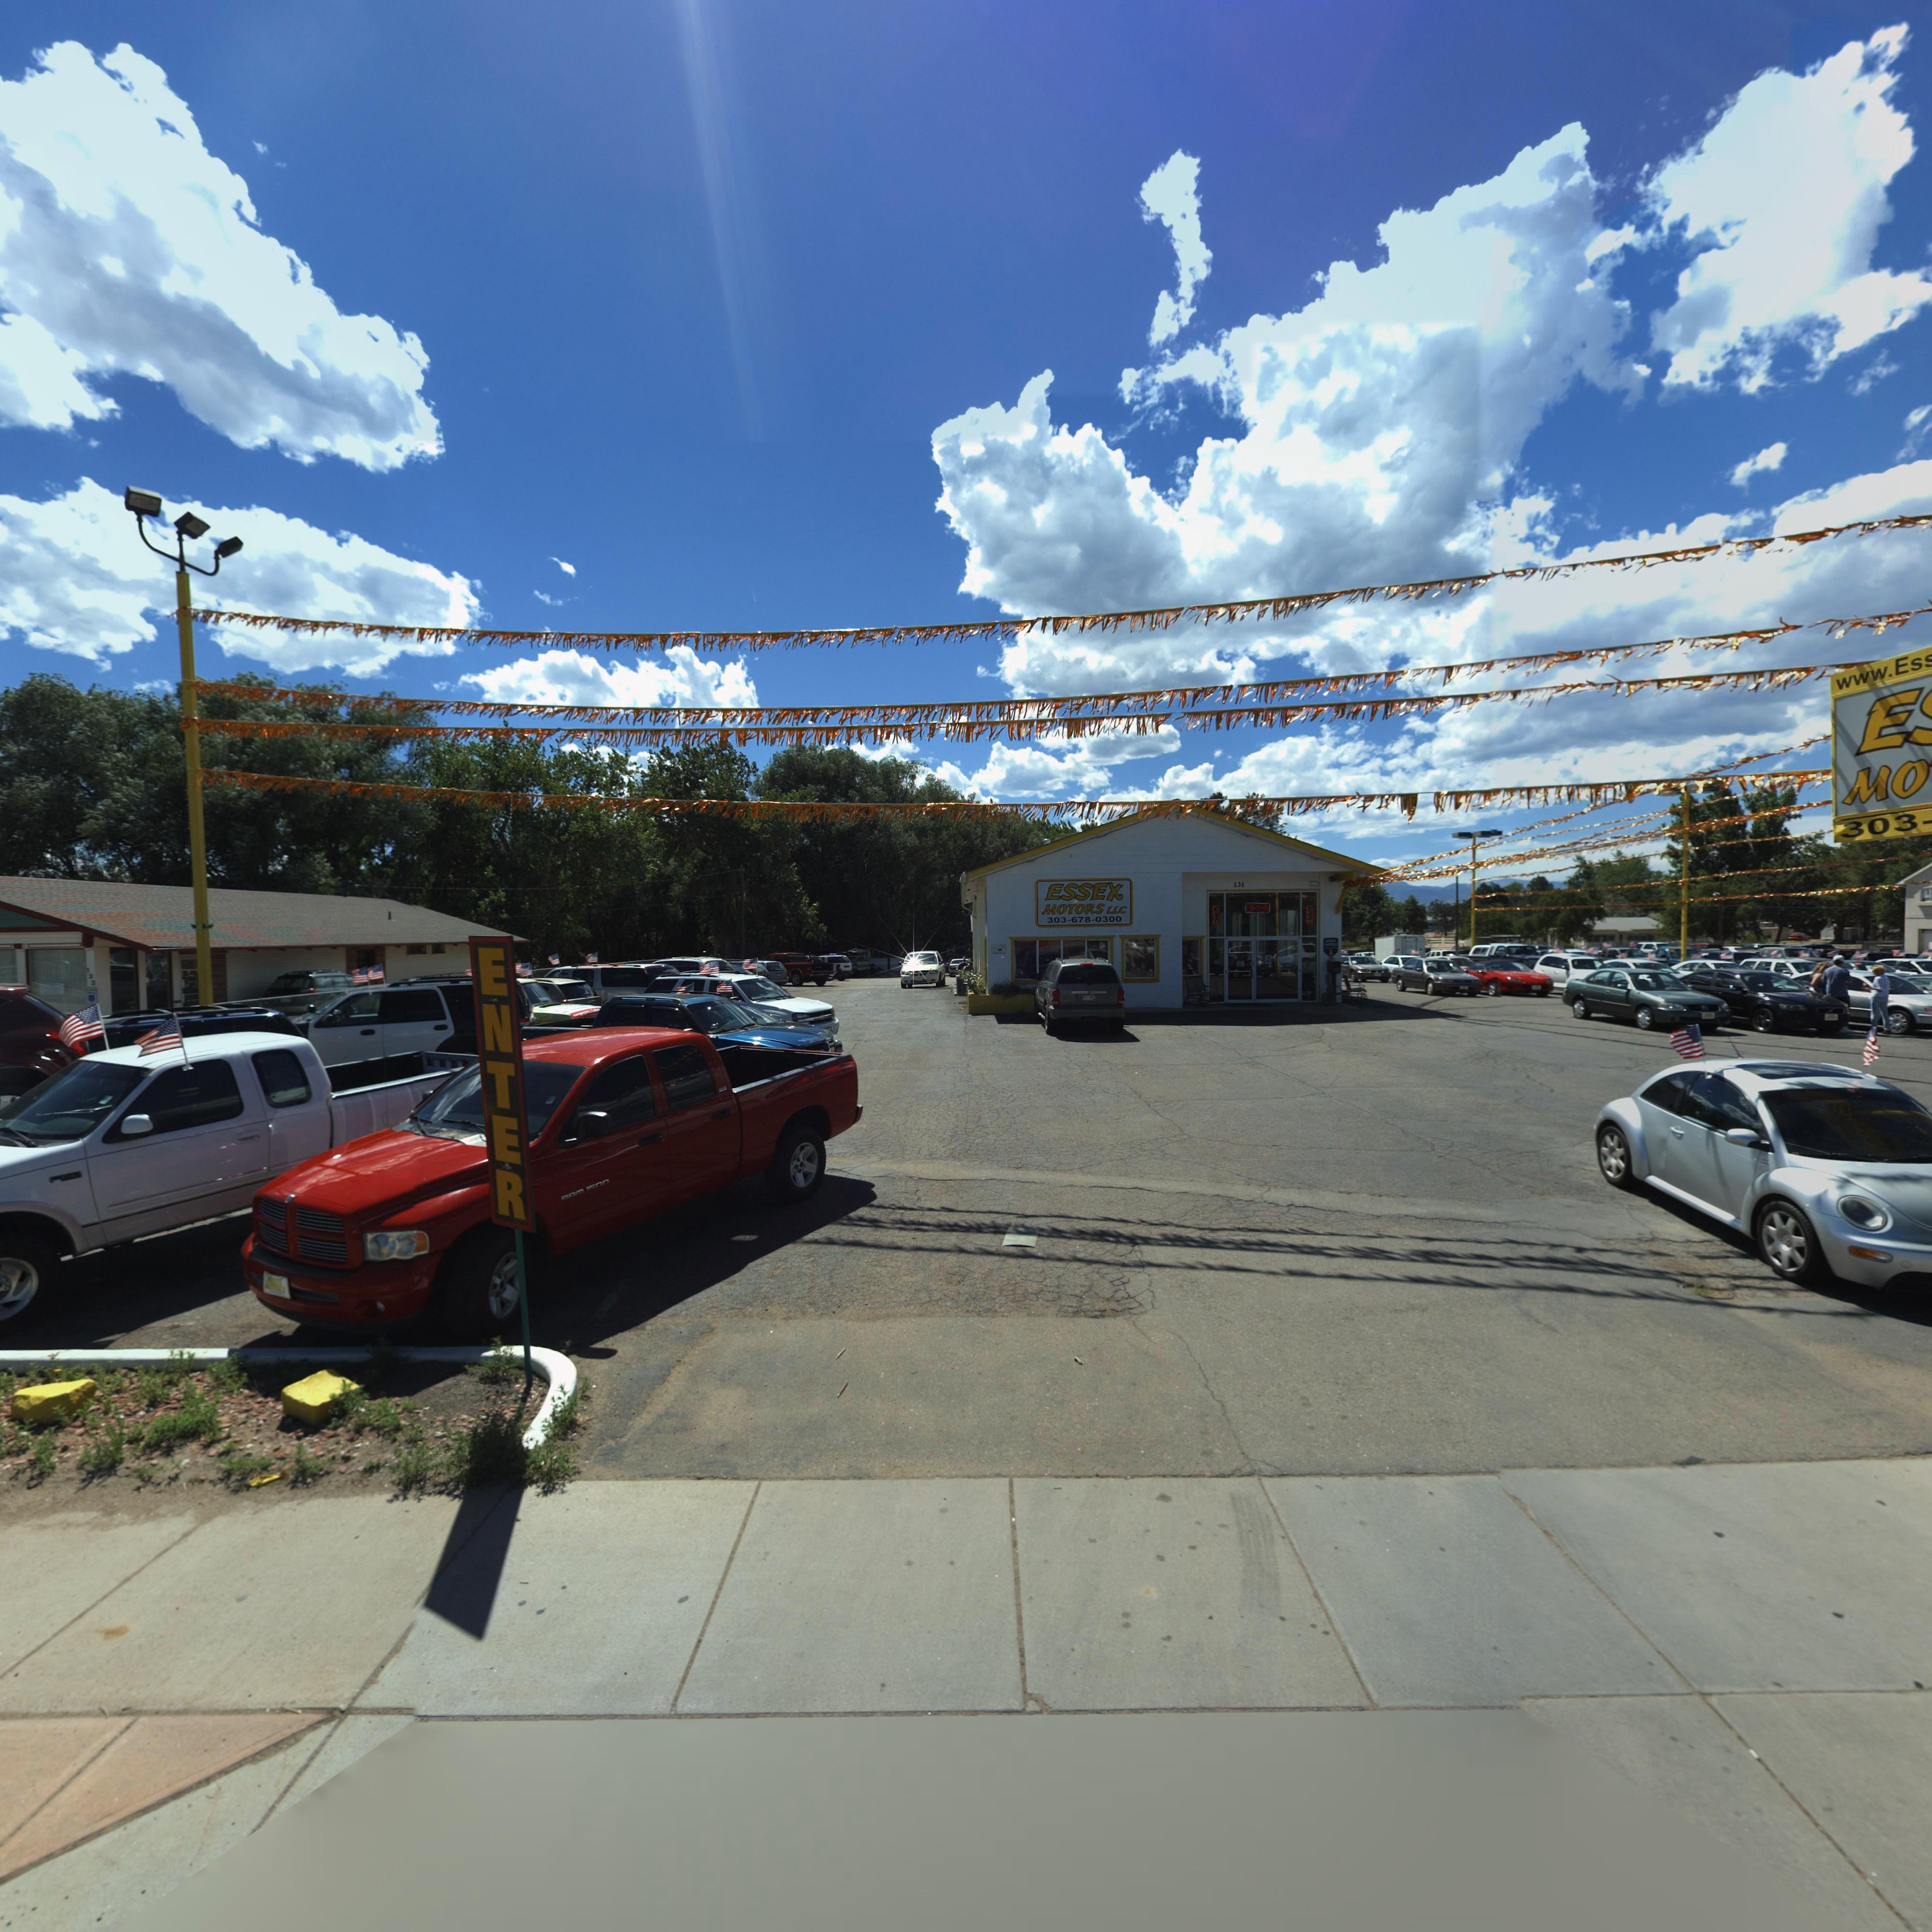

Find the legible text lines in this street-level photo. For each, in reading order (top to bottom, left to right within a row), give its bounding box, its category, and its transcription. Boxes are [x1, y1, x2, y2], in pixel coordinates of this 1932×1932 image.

[1852, 685, 1927, 759] BusinessName: E
[1839, 757, 1932, 807] BusinessName: MO
[1043, 881, 1124, 902] BusinessName: ESSEX
[1233, 881, 1245, 888] StreetNumber: 131
[1040, 902, 1128, 915] BusinessName: MOTORS LLC
[86, 967, 96, 986] StreetNumber: 133